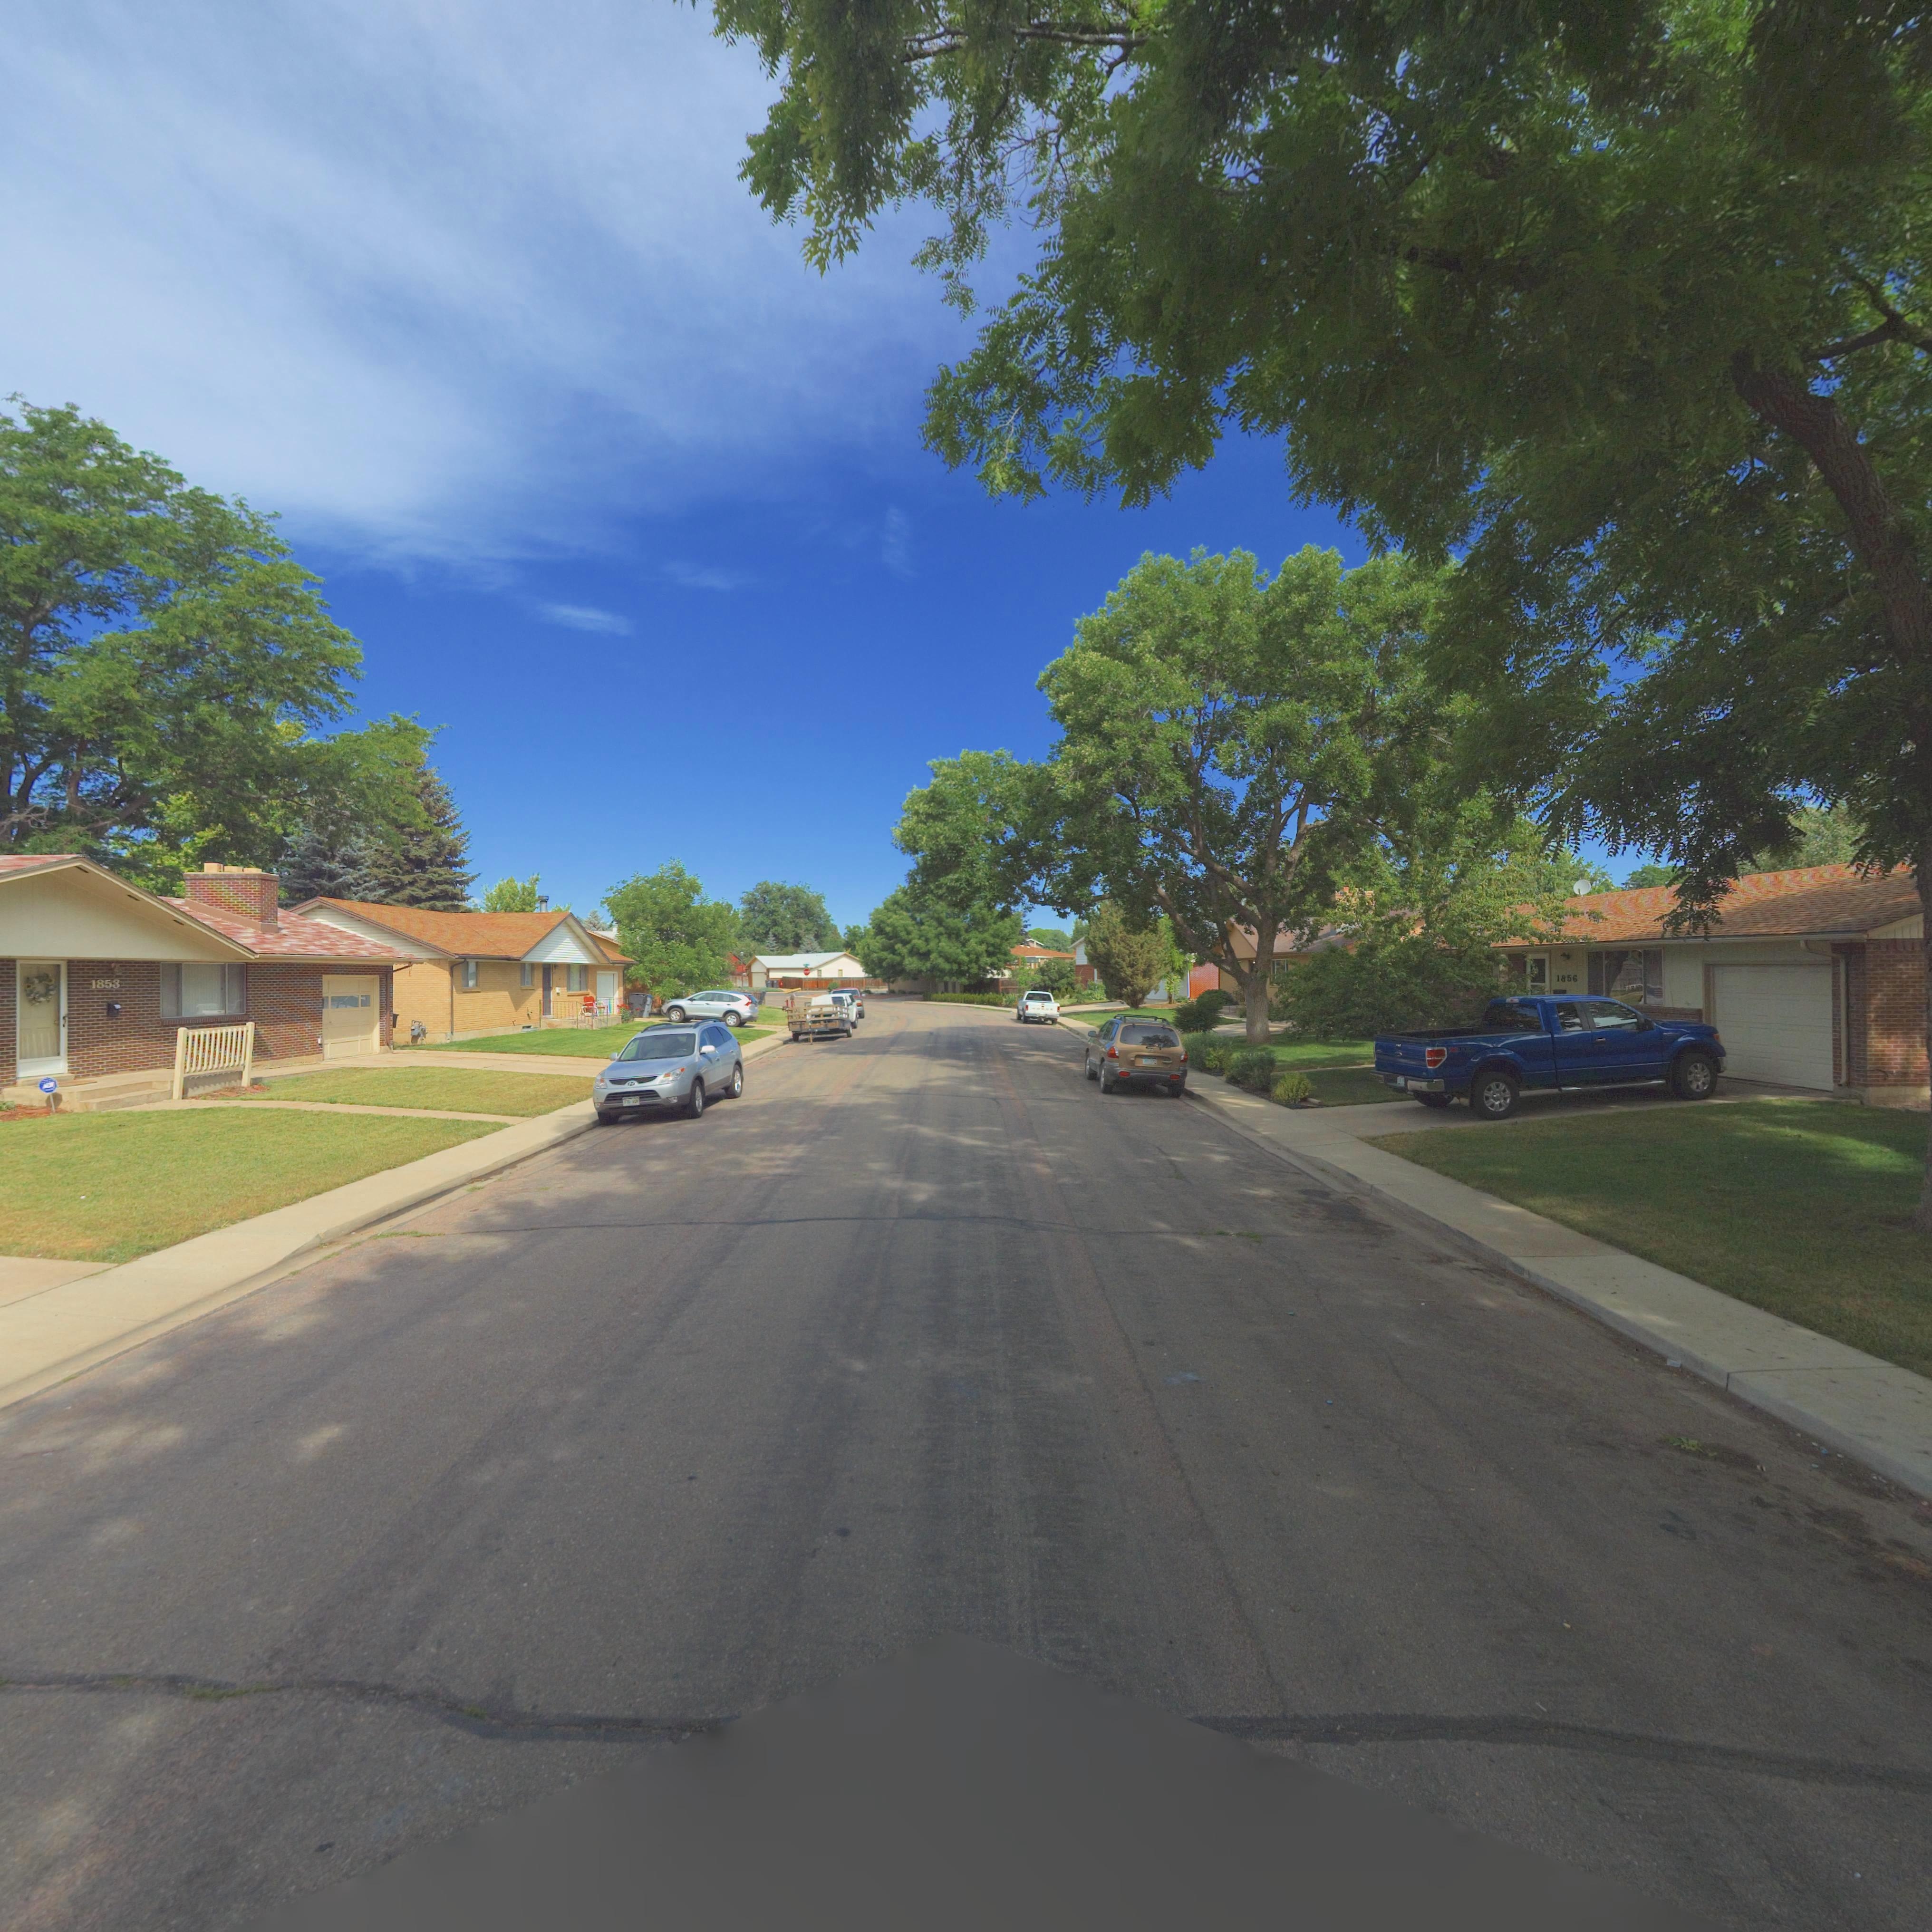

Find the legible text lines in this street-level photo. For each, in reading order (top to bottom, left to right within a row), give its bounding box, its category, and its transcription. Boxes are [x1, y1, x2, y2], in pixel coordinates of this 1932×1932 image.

[1556, 974, 1577, 982] StreetNumber: 1856
[90, 978, 121, 989] StreetNumber: 1858